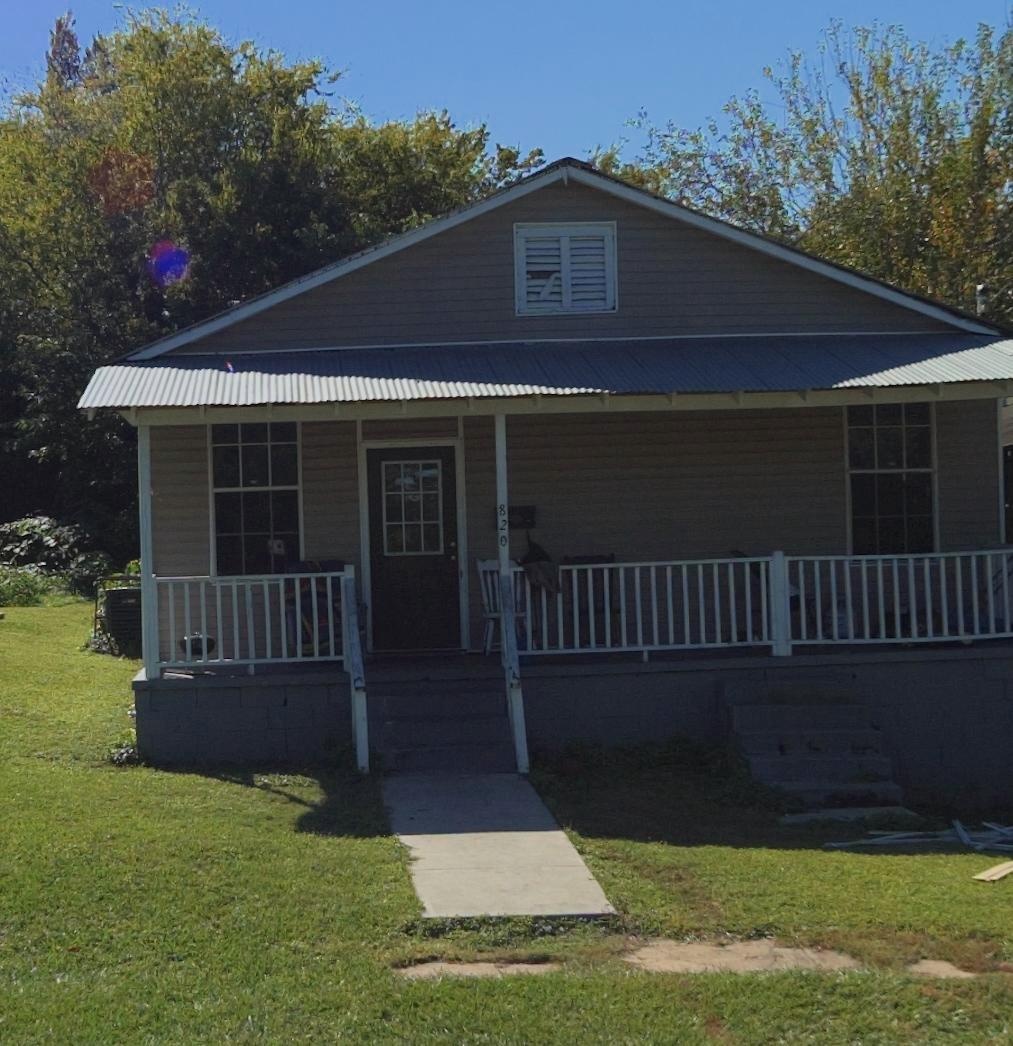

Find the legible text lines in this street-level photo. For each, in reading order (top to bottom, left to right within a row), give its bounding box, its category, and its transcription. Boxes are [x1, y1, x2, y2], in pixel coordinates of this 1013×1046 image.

[497, 502, 510, 548] StreetNumber: 820